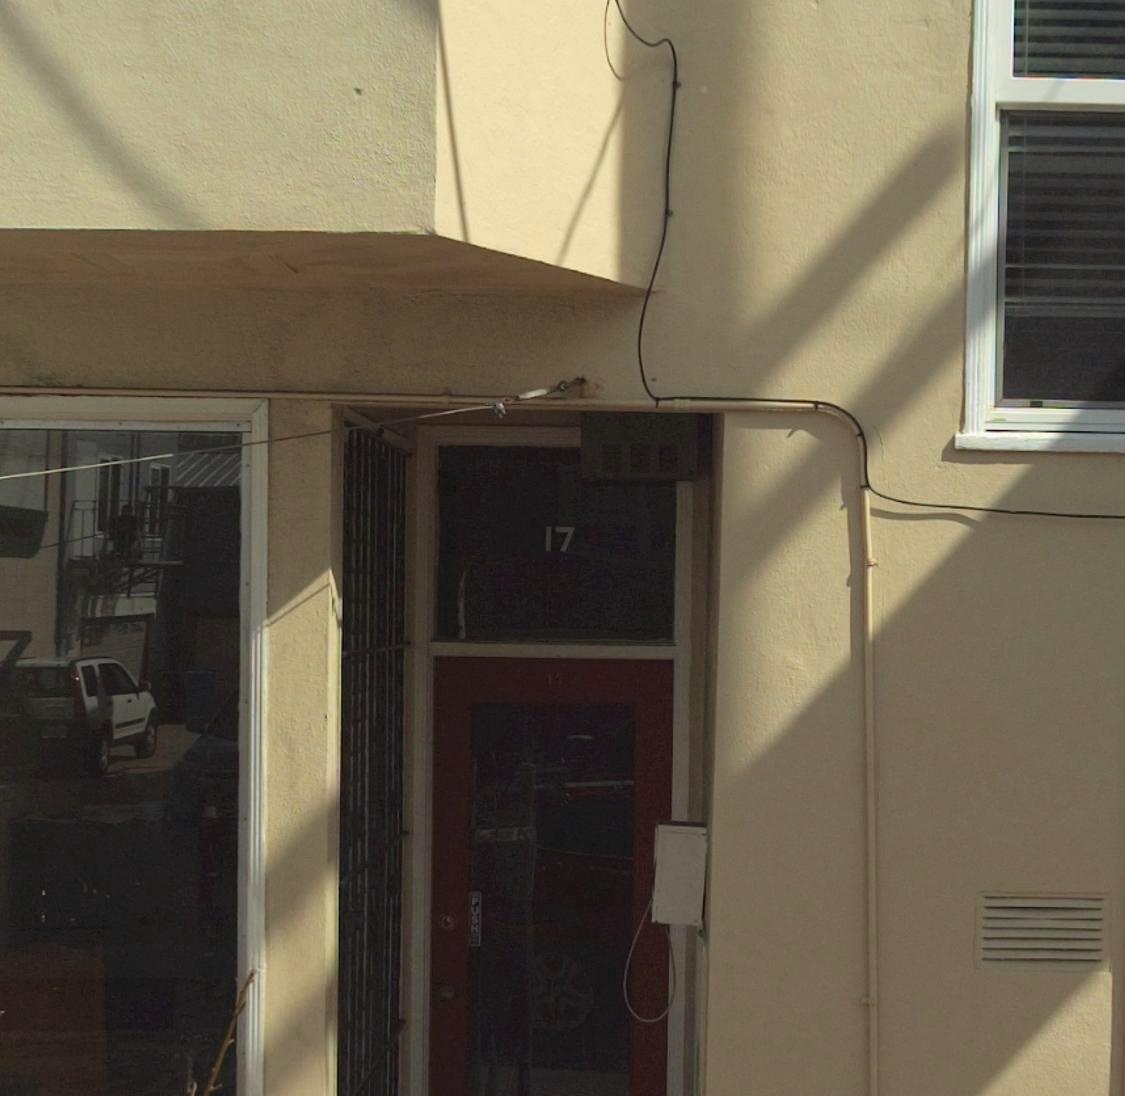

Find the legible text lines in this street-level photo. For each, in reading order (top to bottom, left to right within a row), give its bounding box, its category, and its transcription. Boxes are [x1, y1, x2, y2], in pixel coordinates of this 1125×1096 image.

[541, 522, 584, 557] StreetNumber: 17
[546, 671, 565, 687] StreetNumber: 17
[470, 894, 481, 936] None: PUSH